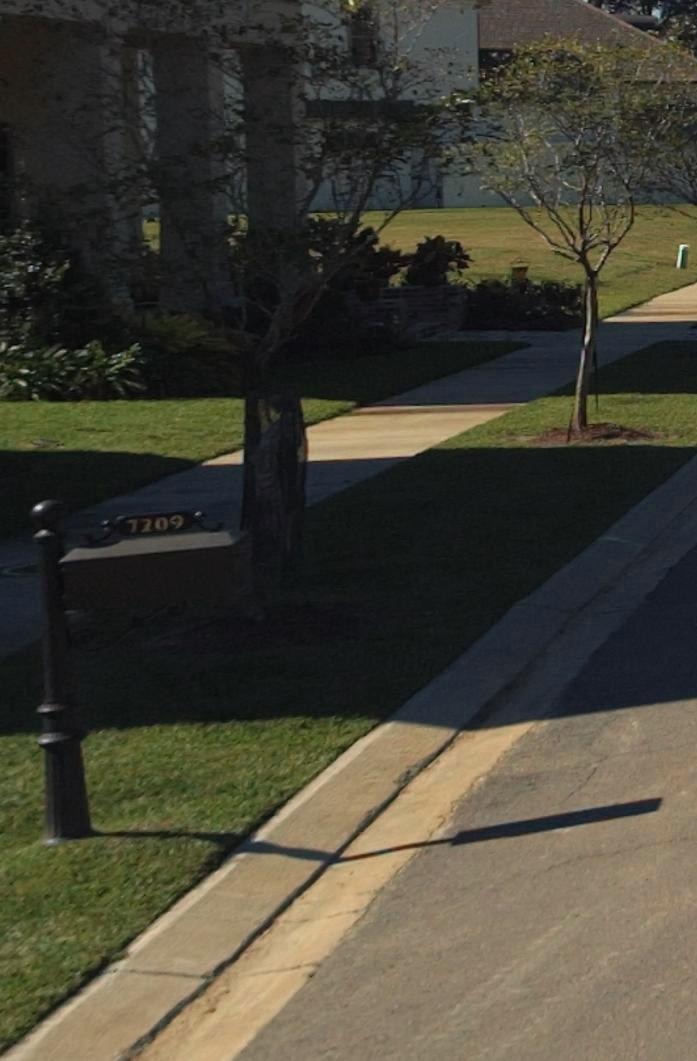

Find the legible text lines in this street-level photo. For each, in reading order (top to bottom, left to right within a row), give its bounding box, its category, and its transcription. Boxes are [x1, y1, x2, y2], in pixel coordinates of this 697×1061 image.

[123, 513, 185, 535] StreetNumber: 7209